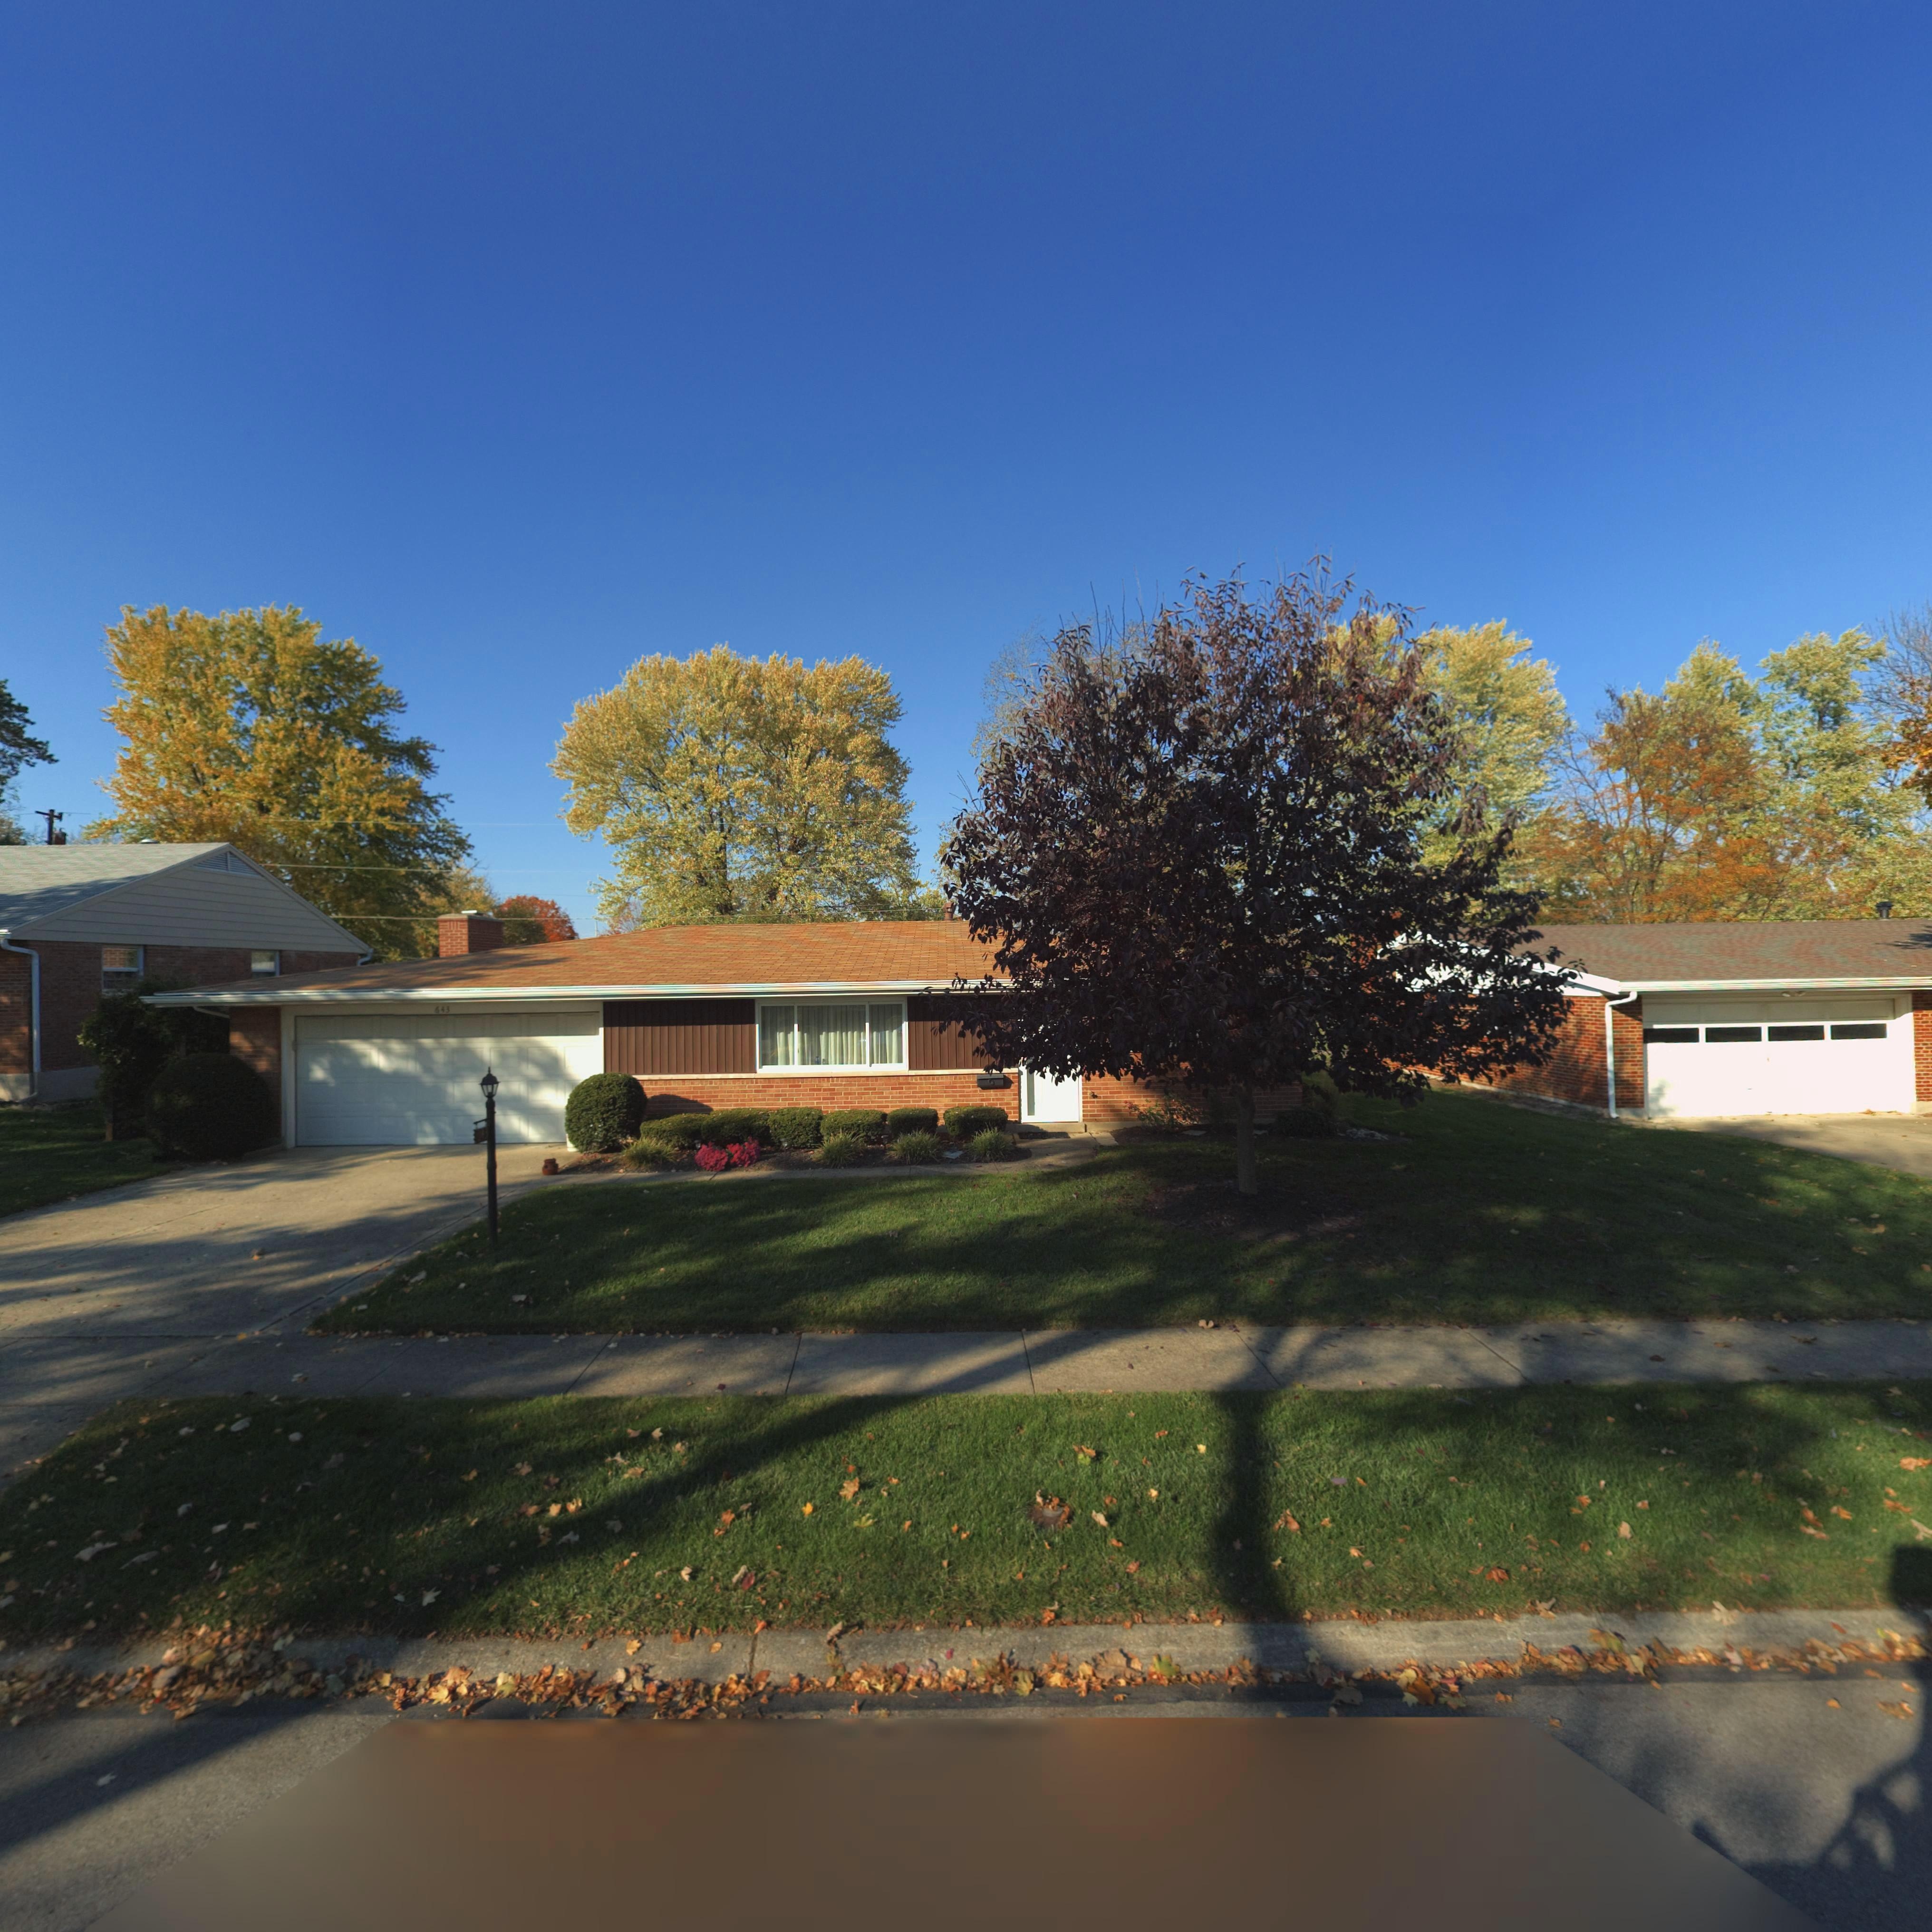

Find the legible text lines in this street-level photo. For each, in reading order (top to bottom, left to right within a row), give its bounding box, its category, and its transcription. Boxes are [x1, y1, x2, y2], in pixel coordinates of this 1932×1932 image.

[434, 1005, 450, 1014] StreetNumber: 643